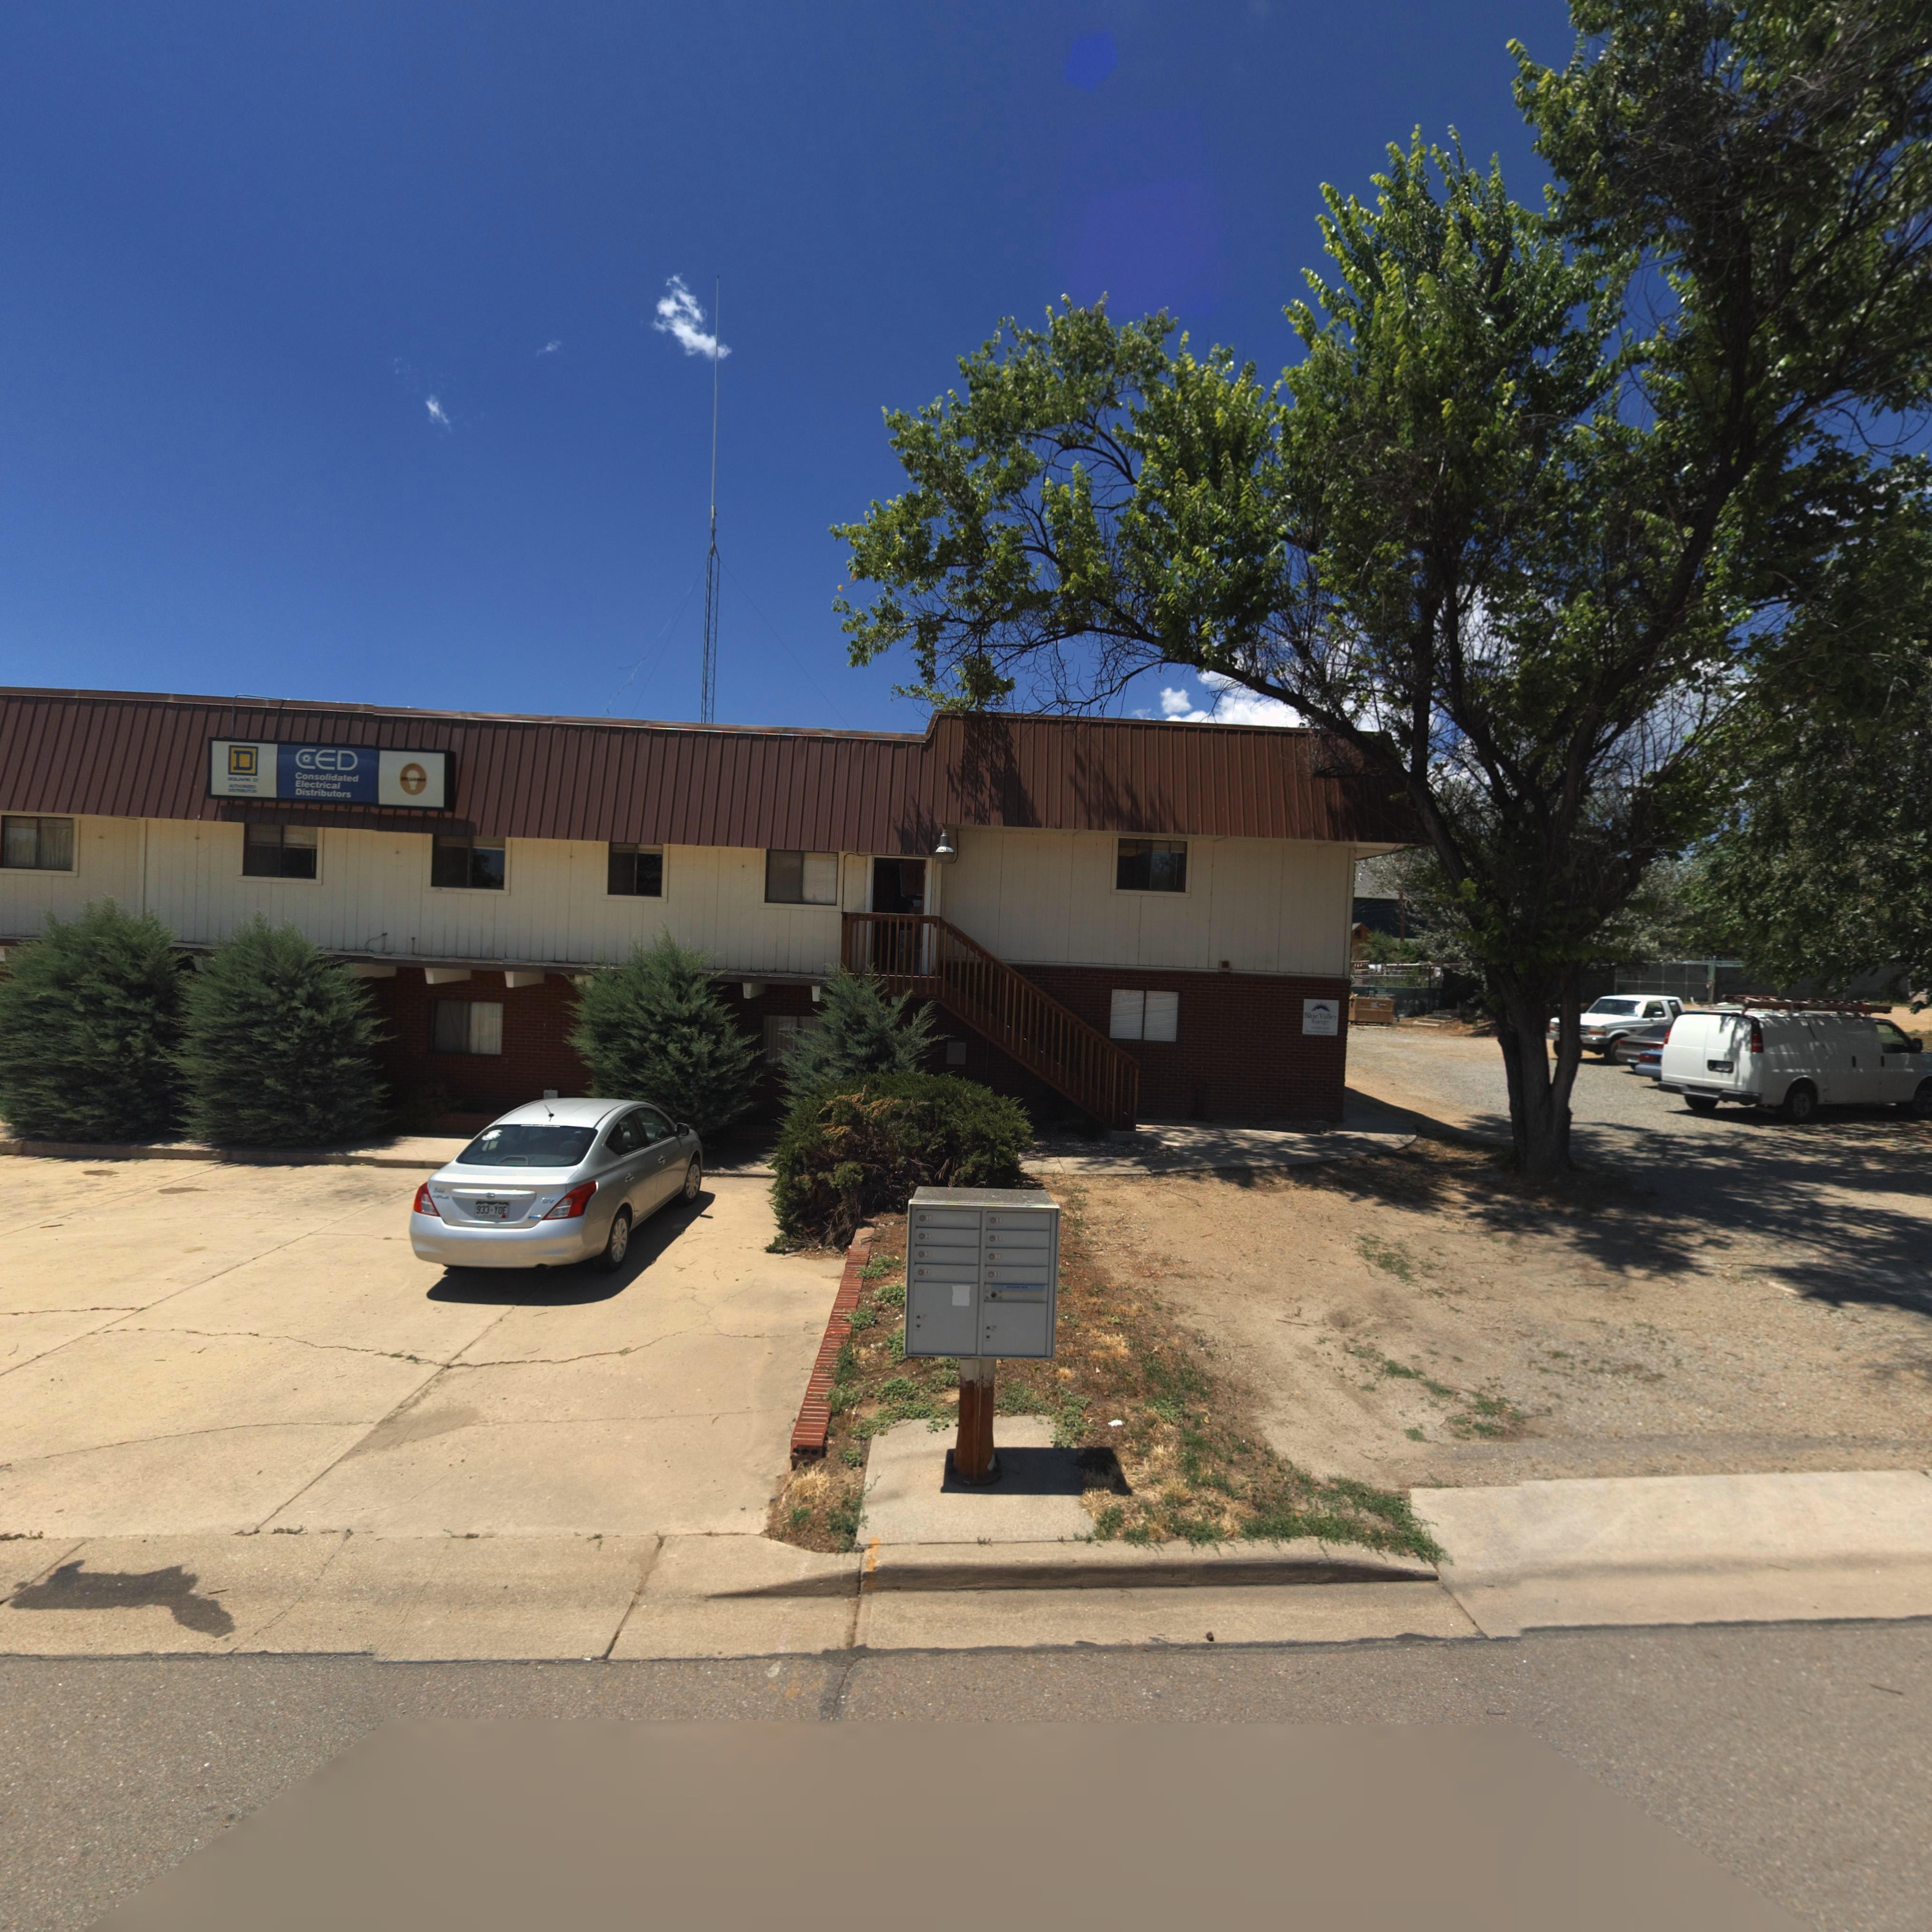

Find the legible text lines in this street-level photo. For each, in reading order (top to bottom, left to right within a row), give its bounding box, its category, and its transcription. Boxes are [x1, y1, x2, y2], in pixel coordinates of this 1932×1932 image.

[294, 747, 358, 772] BusinessName: CED
[228, 783, 256, 789] BusinessName: A*THO***ED
[228, 788, 257, 793] BusinessName: C*N***CTOR
[226, 776, 259, 782] BusinessName: *C*L*N*E D
[295, 779, 341, 789] BusinessName: Electrical
[295, 788, 351, 798] BusinessName: Distributors
[294, 771, 359, 782] BusinessName: Consolidated
[400, 776, 425, 782] BusinessName: ****A**A
[1304, 1011, 1338, 1021] BusinessName: Blue Valley
[1312, 1018, 1330, 1025] BusinessName: Energy